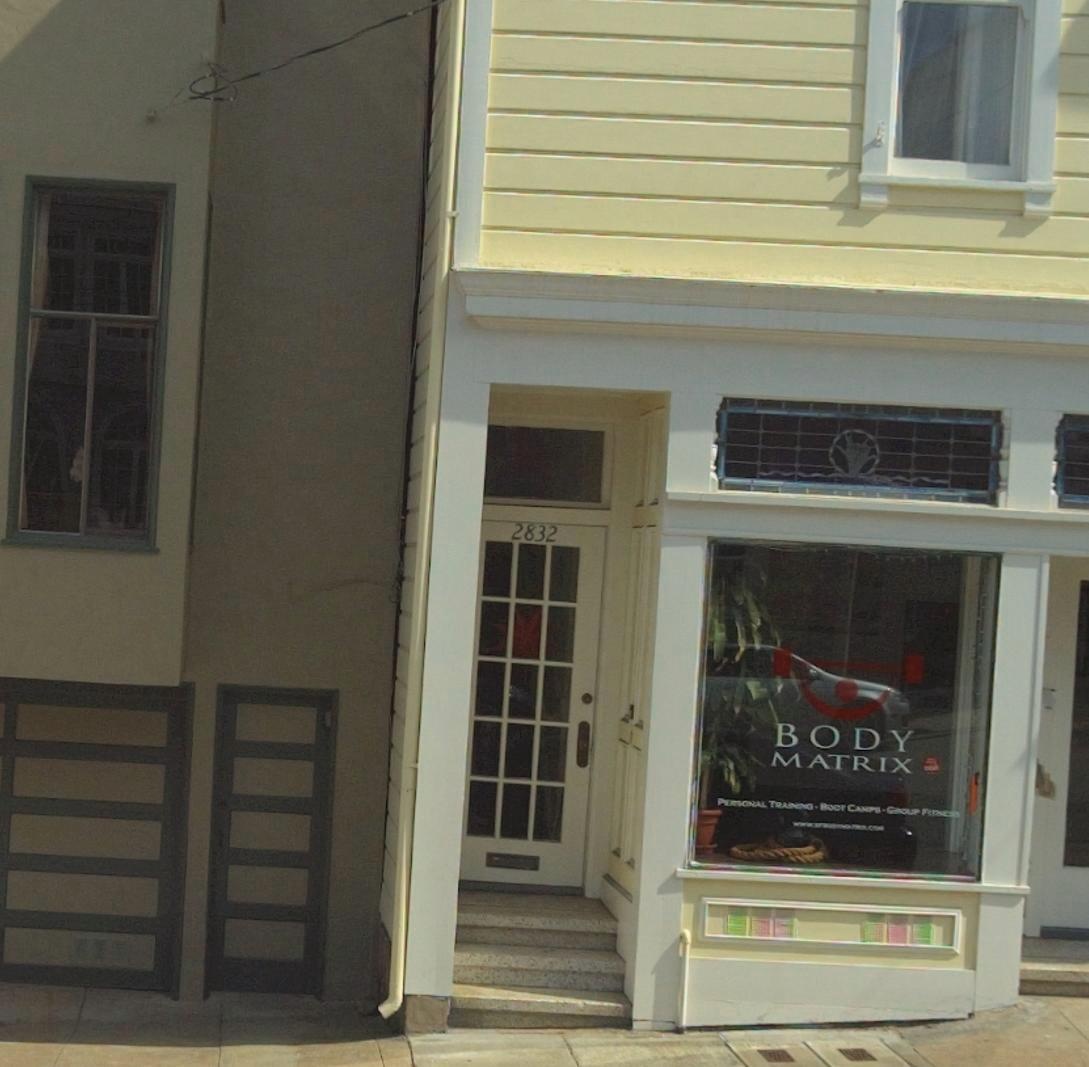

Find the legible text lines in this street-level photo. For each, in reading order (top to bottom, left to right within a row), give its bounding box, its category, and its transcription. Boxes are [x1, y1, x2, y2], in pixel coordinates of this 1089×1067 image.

[507, 521, 561, 545] StreetNumber: 2832
[773, 720, 919, 755] BusinessName: BODY
[767, 748, 917, 777] BusinessName: MATRIX